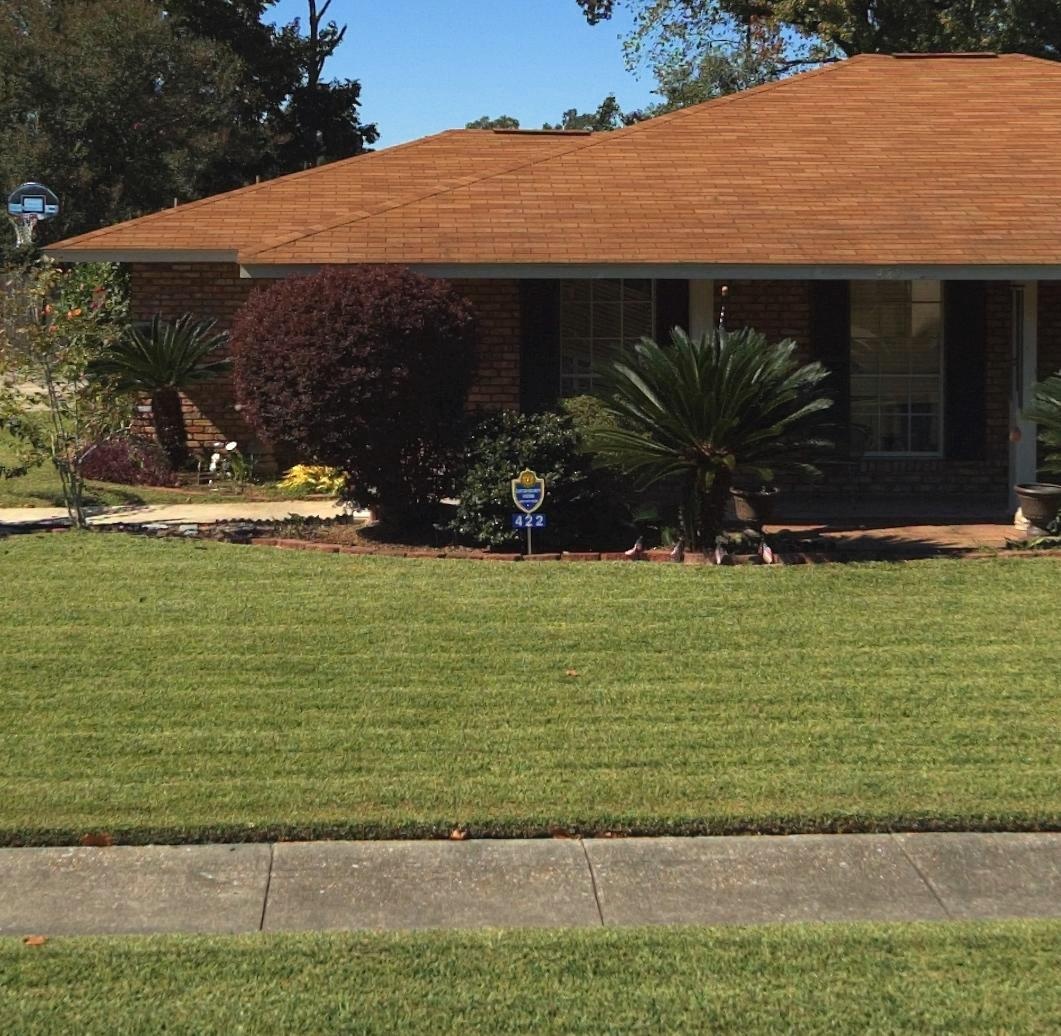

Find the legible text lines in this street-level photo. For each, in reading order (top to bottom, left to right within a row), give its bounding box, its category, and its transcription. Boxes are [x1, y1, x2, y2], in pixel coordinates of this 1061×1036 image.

[513, 513, 545, 528] StreetNumber: 422